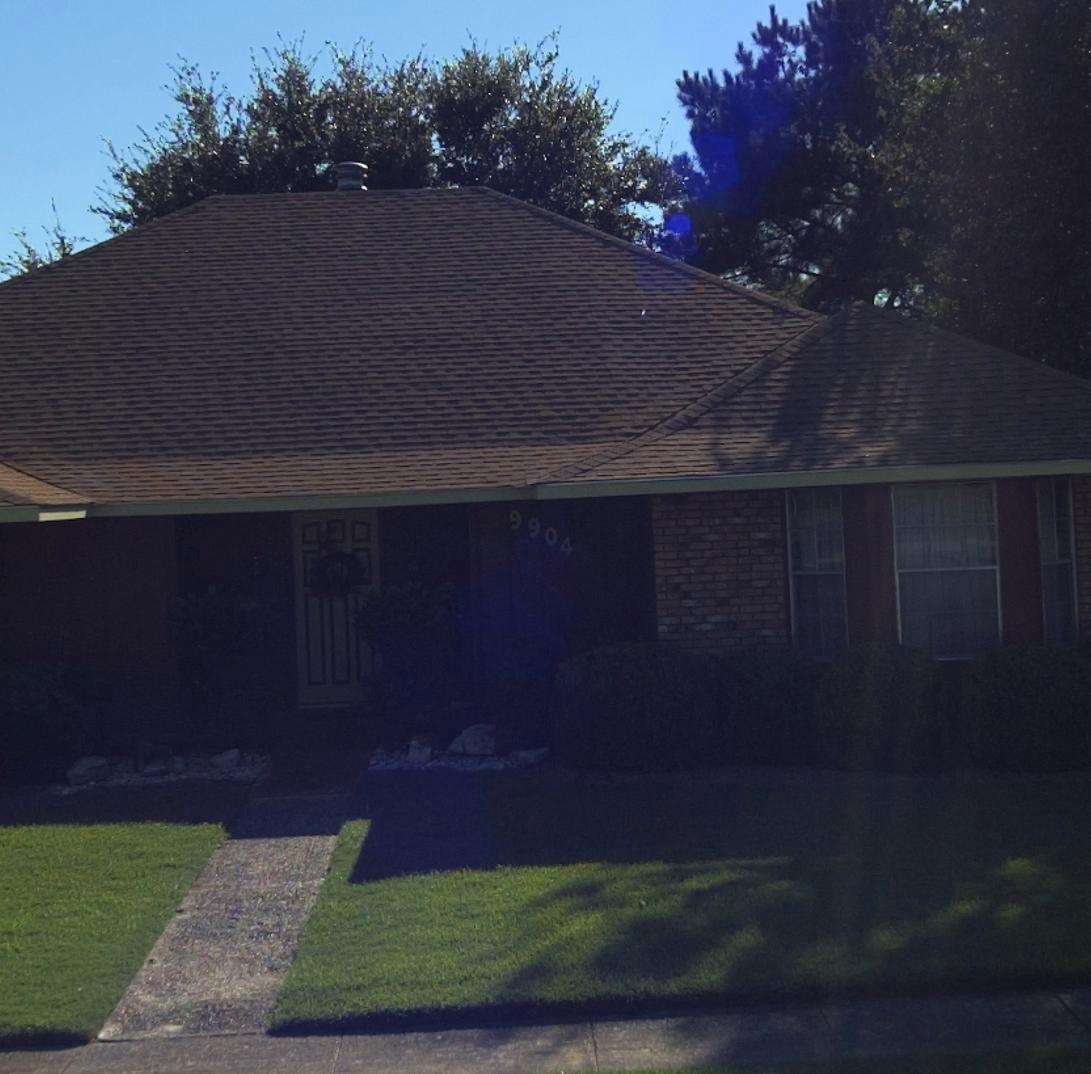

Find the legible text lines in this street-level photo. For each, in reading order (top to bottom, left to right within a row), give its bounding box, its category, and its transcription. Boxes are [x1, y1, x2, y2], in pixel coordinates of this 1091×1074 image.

[508, 509, 573, 559] StreetNumber: 9904